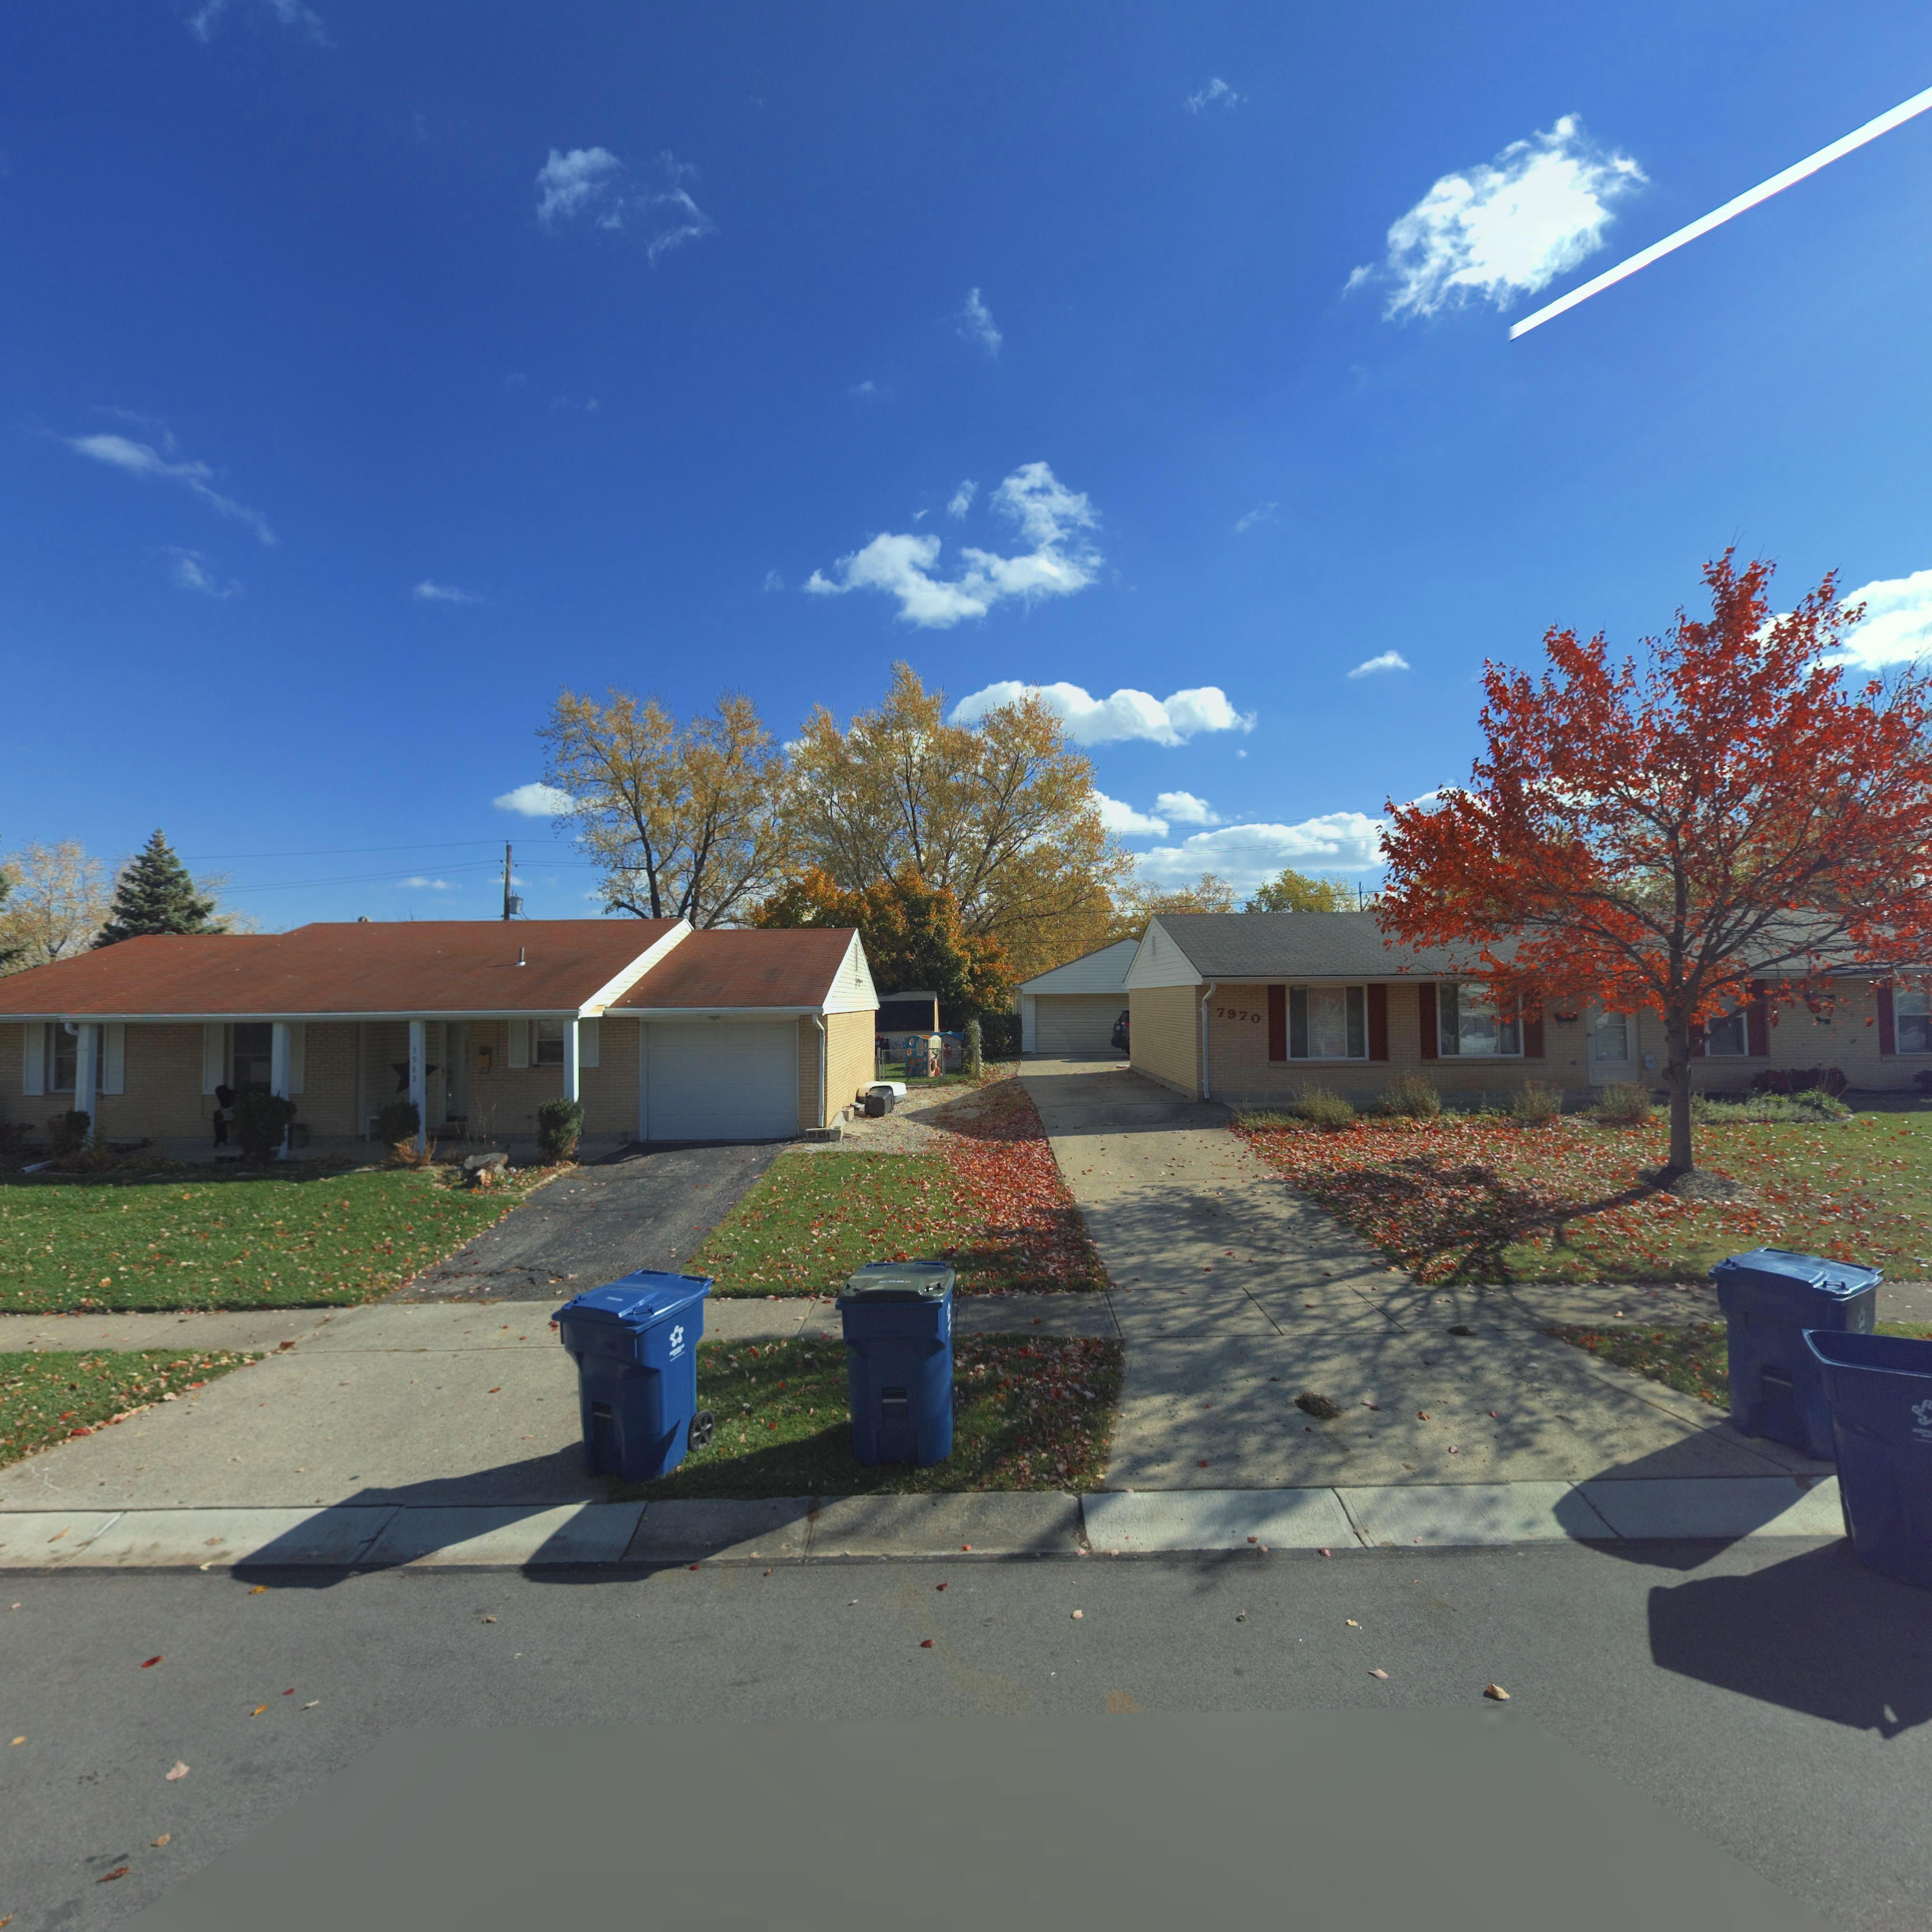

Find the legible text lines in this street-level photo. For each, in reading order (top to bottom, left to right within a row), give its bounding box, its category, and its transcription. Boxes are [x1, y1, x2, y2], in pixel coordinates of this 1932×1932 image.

[1215, 1006, 1262, 1025] StreetNumber: 7970
[410, 1045, 419, 1084] StreetNumber: *9*2